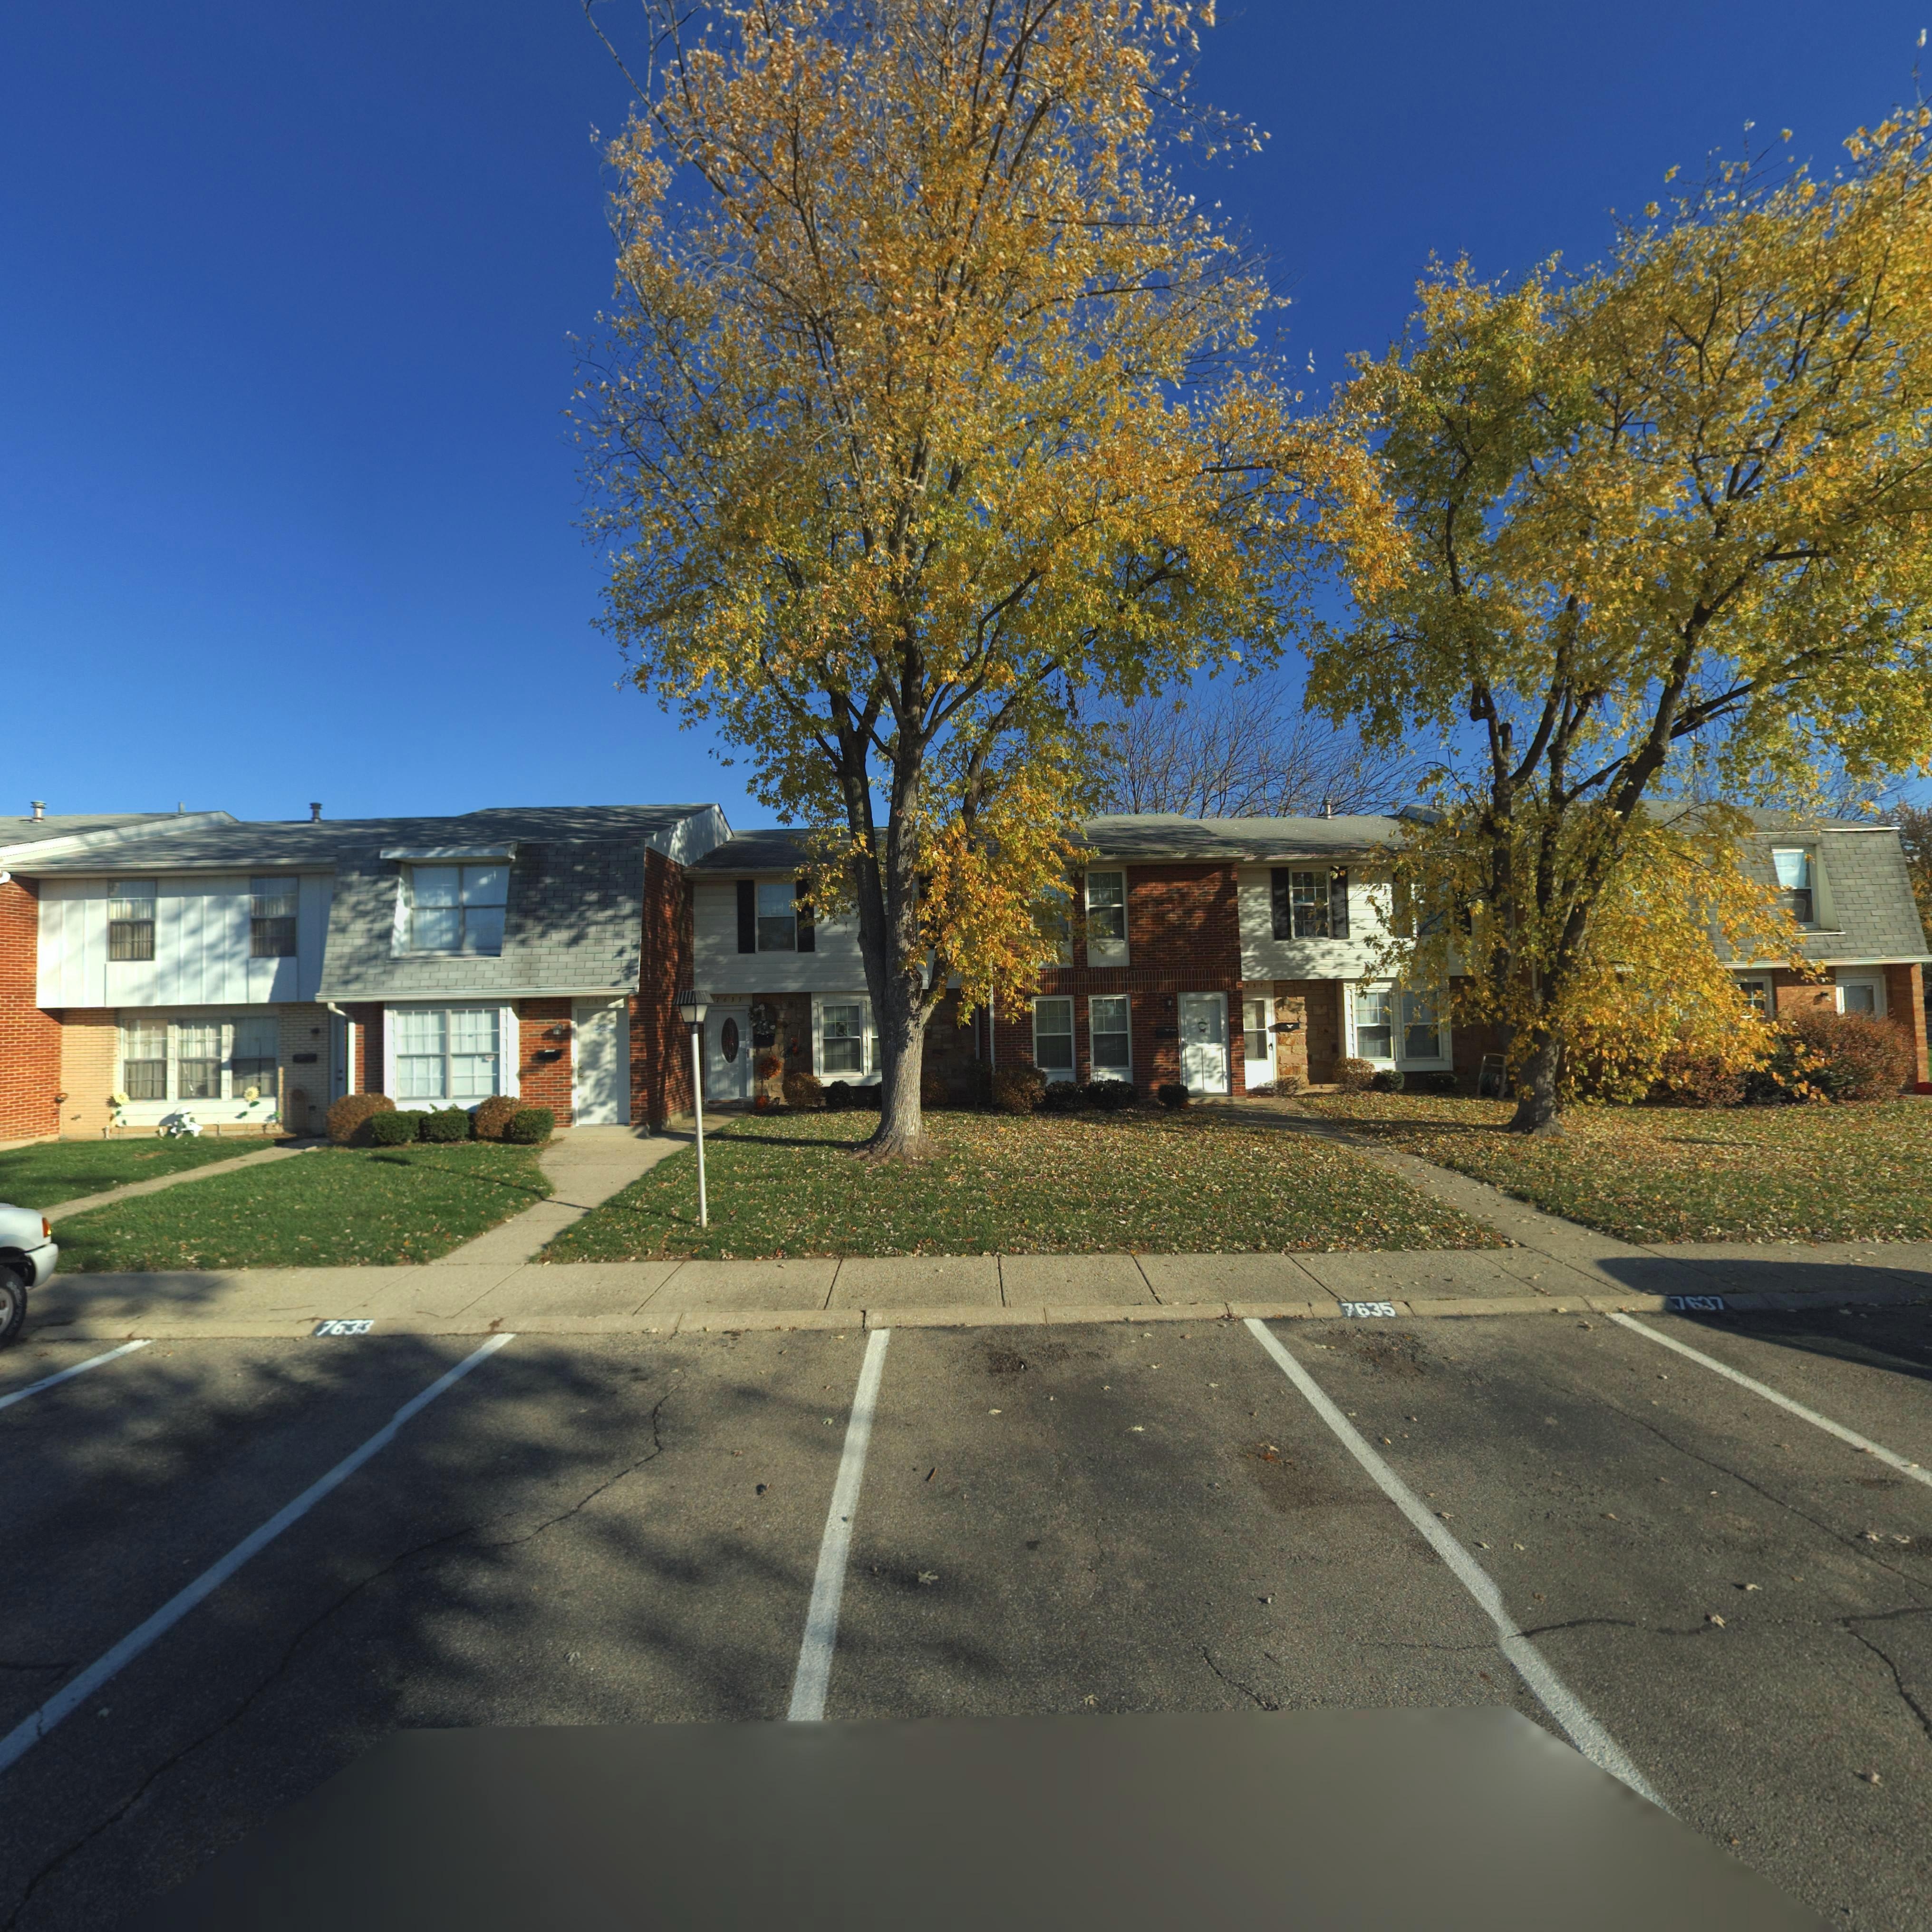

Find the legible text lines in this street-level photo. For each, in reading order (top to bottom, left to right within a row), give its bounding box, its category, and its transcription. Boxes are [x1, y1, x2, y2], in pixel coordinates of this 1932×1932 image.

[1245, 983, 1264, 988] StreetNumber: 637
[585, 995, 617, 1005] StreetNumber: 763*
[715, 996, 742, 1003] StreetNumber: 7633
[1341, 1302, 1396, 1317] StreetNumber: 7635
[1668, 1295, 1725, 1310] StreetNumber: 7637
[315, 1319, 376, 1336] StreetNumber: 7633